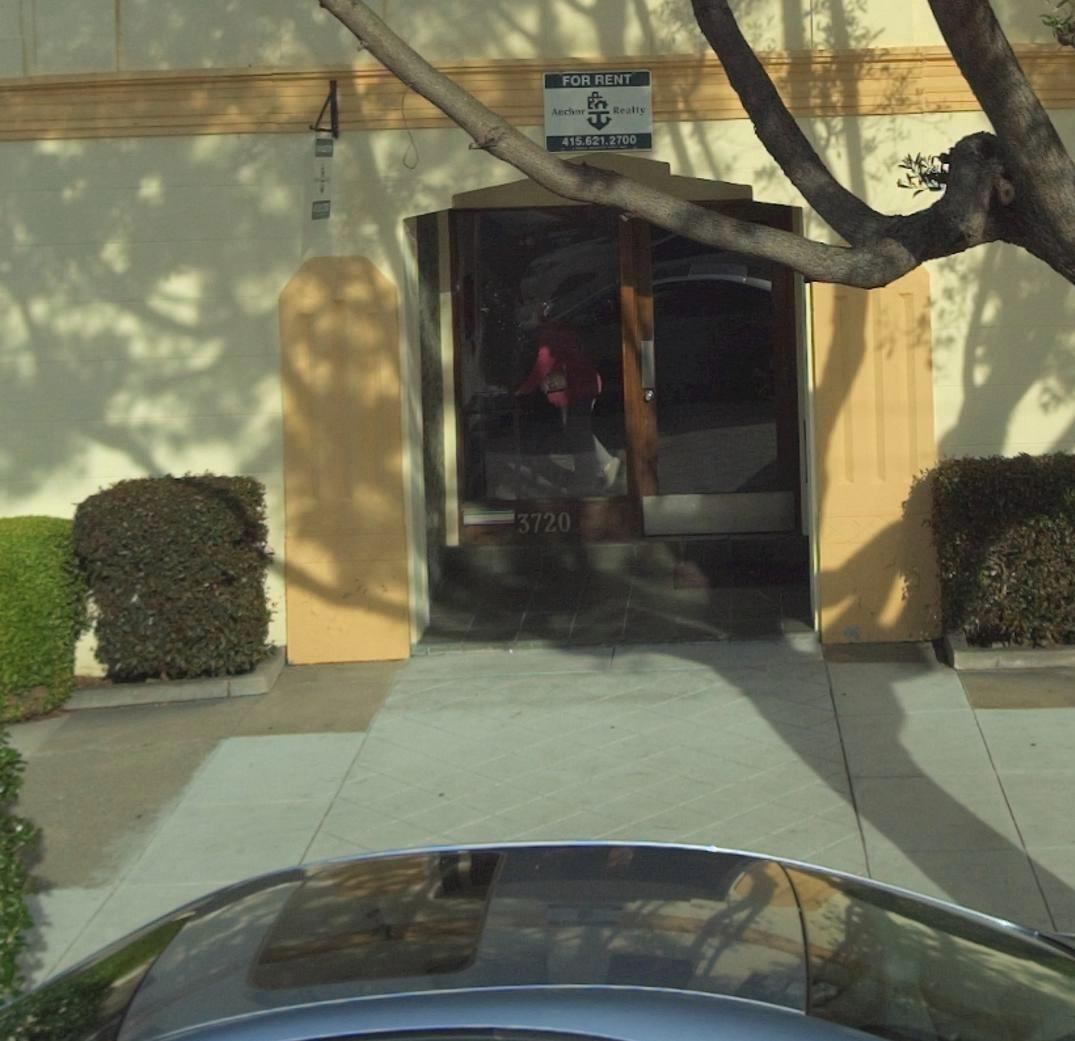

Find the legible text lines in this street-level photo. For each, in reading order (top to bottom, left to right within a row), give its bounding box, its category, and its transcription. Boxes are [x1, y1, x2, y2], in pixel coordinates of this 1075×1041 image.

[560, 71, 635, 89] None: FOR RENT
[548, 104, 588, 119] None: Anchor
[611, 103, 648, 119] None: Realty
[559, 132, 639, 149] None: 415.621.2700
[515, 510, 573, 536] StreetNumber: 3720